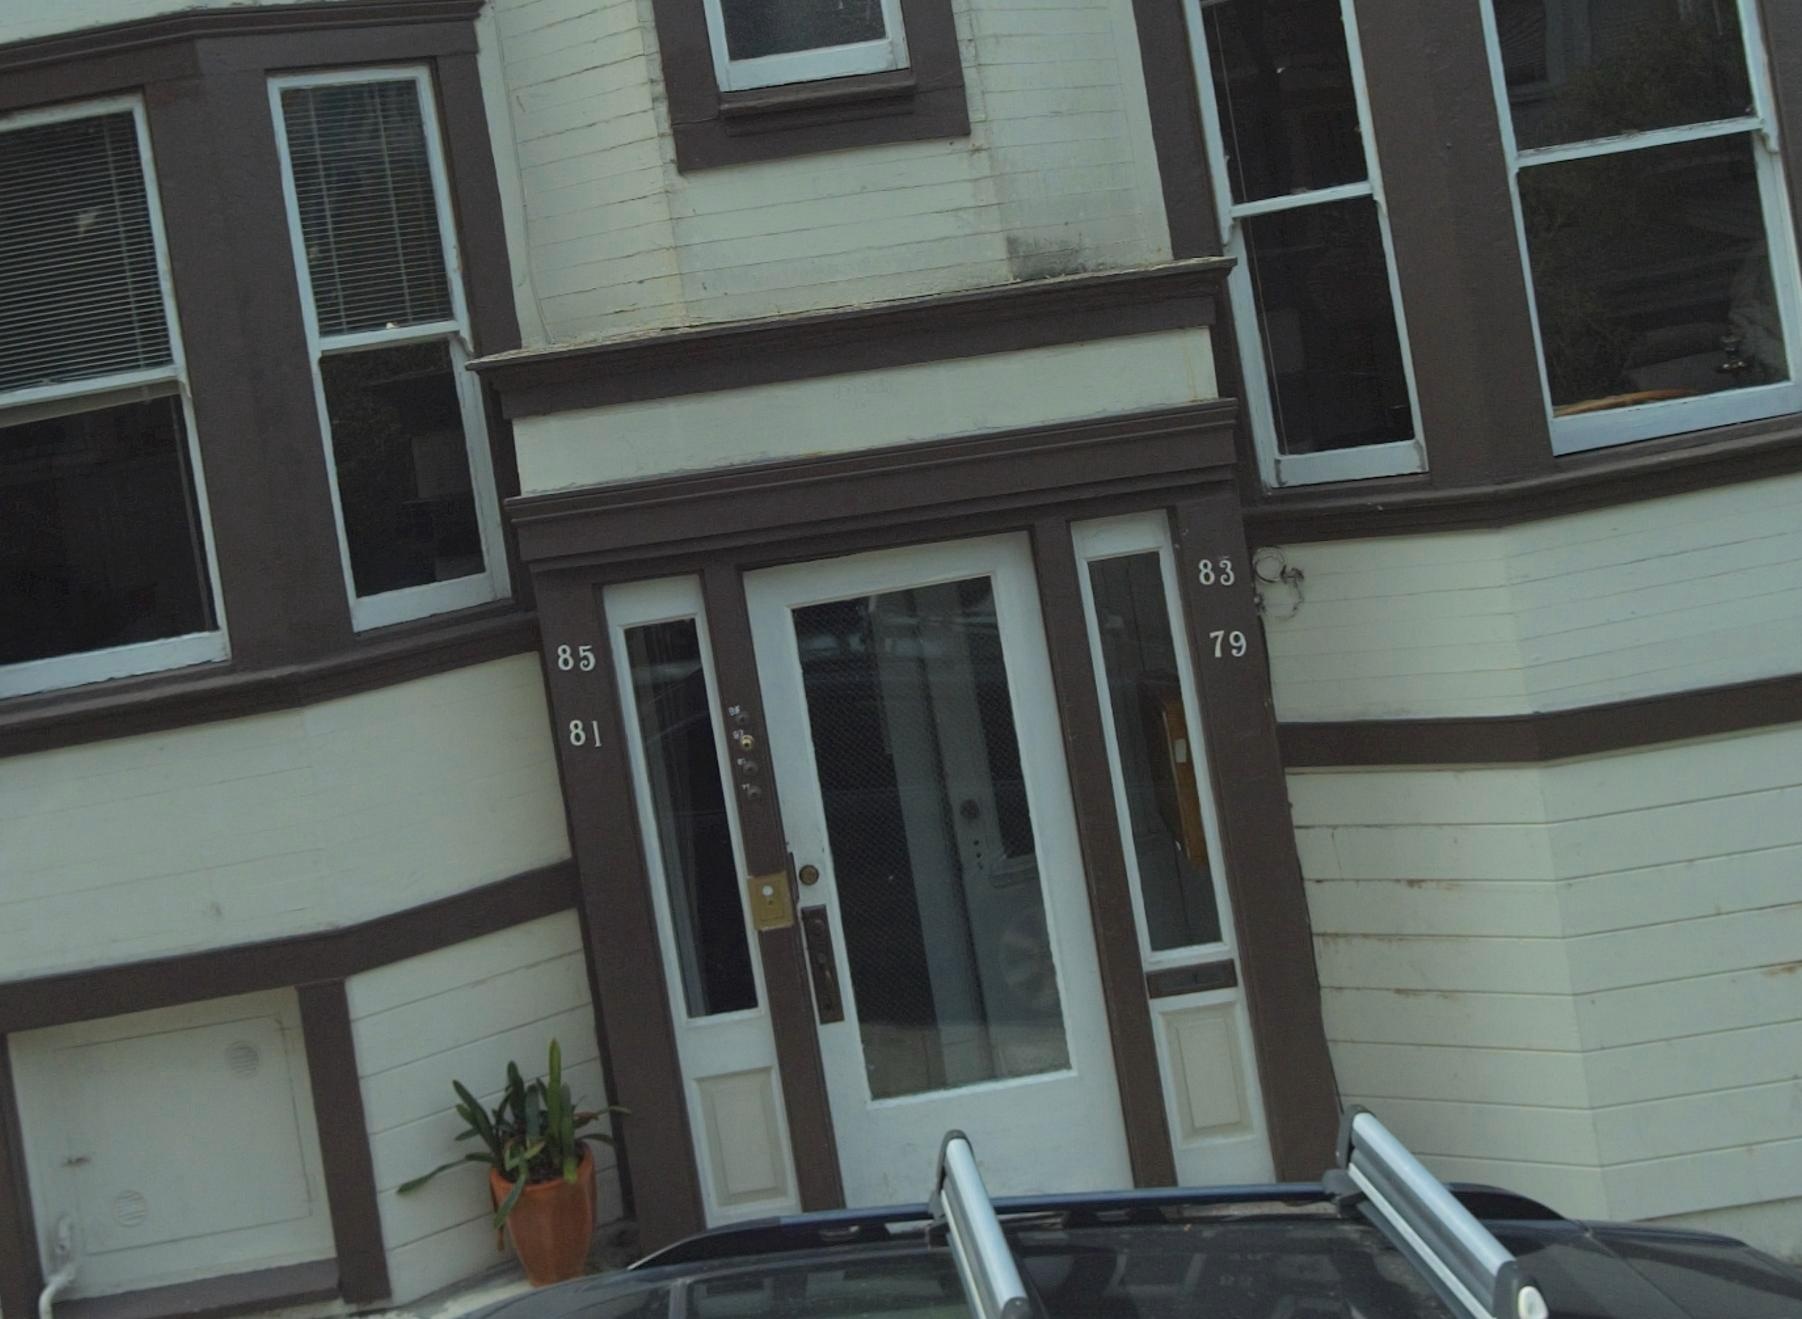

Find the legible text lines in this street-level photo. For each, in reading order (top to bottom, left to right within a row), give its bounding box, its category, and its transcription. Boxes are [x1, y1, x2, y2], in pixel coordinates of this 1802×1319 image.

[1196, 556, 1238, 590] StreetNumber: 83
[553, 641, 600, 676] StreetNumber: 85
[1205, 625, 1251, 663] StreetNumber: 79
[563, 716, 605, 751] StreetNumber: 81